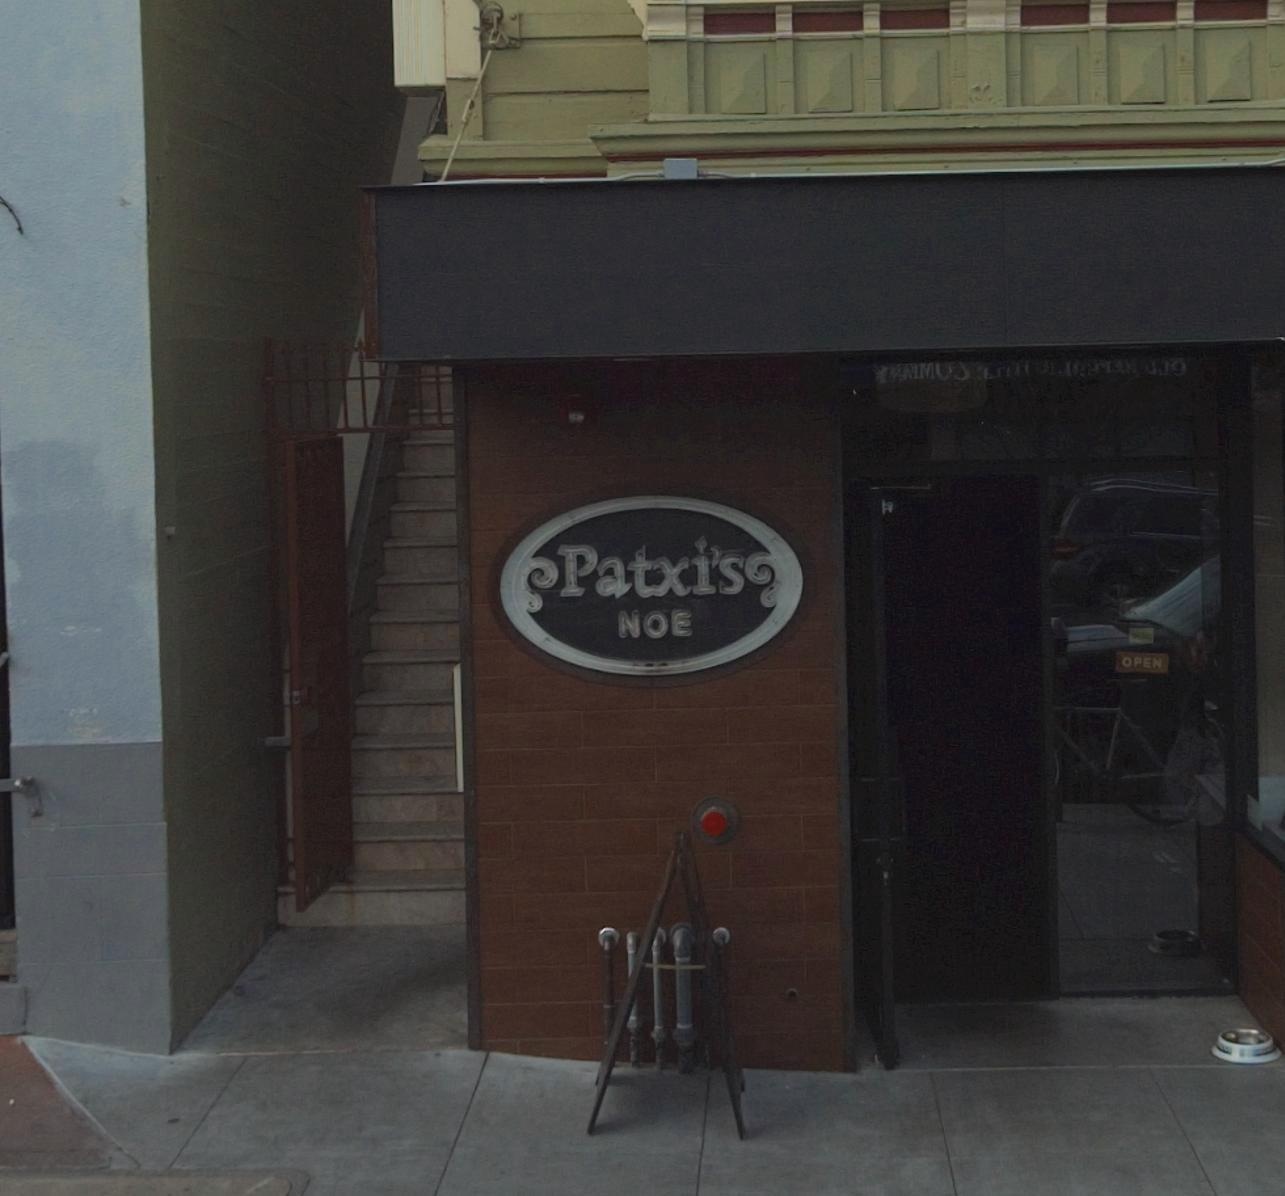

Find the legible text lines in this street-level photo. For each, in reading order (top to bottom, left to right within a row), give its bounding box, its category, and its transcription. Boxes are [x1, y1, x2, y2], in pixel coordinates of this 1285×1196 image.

[558, 535, 744, 600] BusinessName: Patxi's
[615, 606, 694, 640] BusinessName: NOE
[1120, 655, 1163, 670] None: OPEN